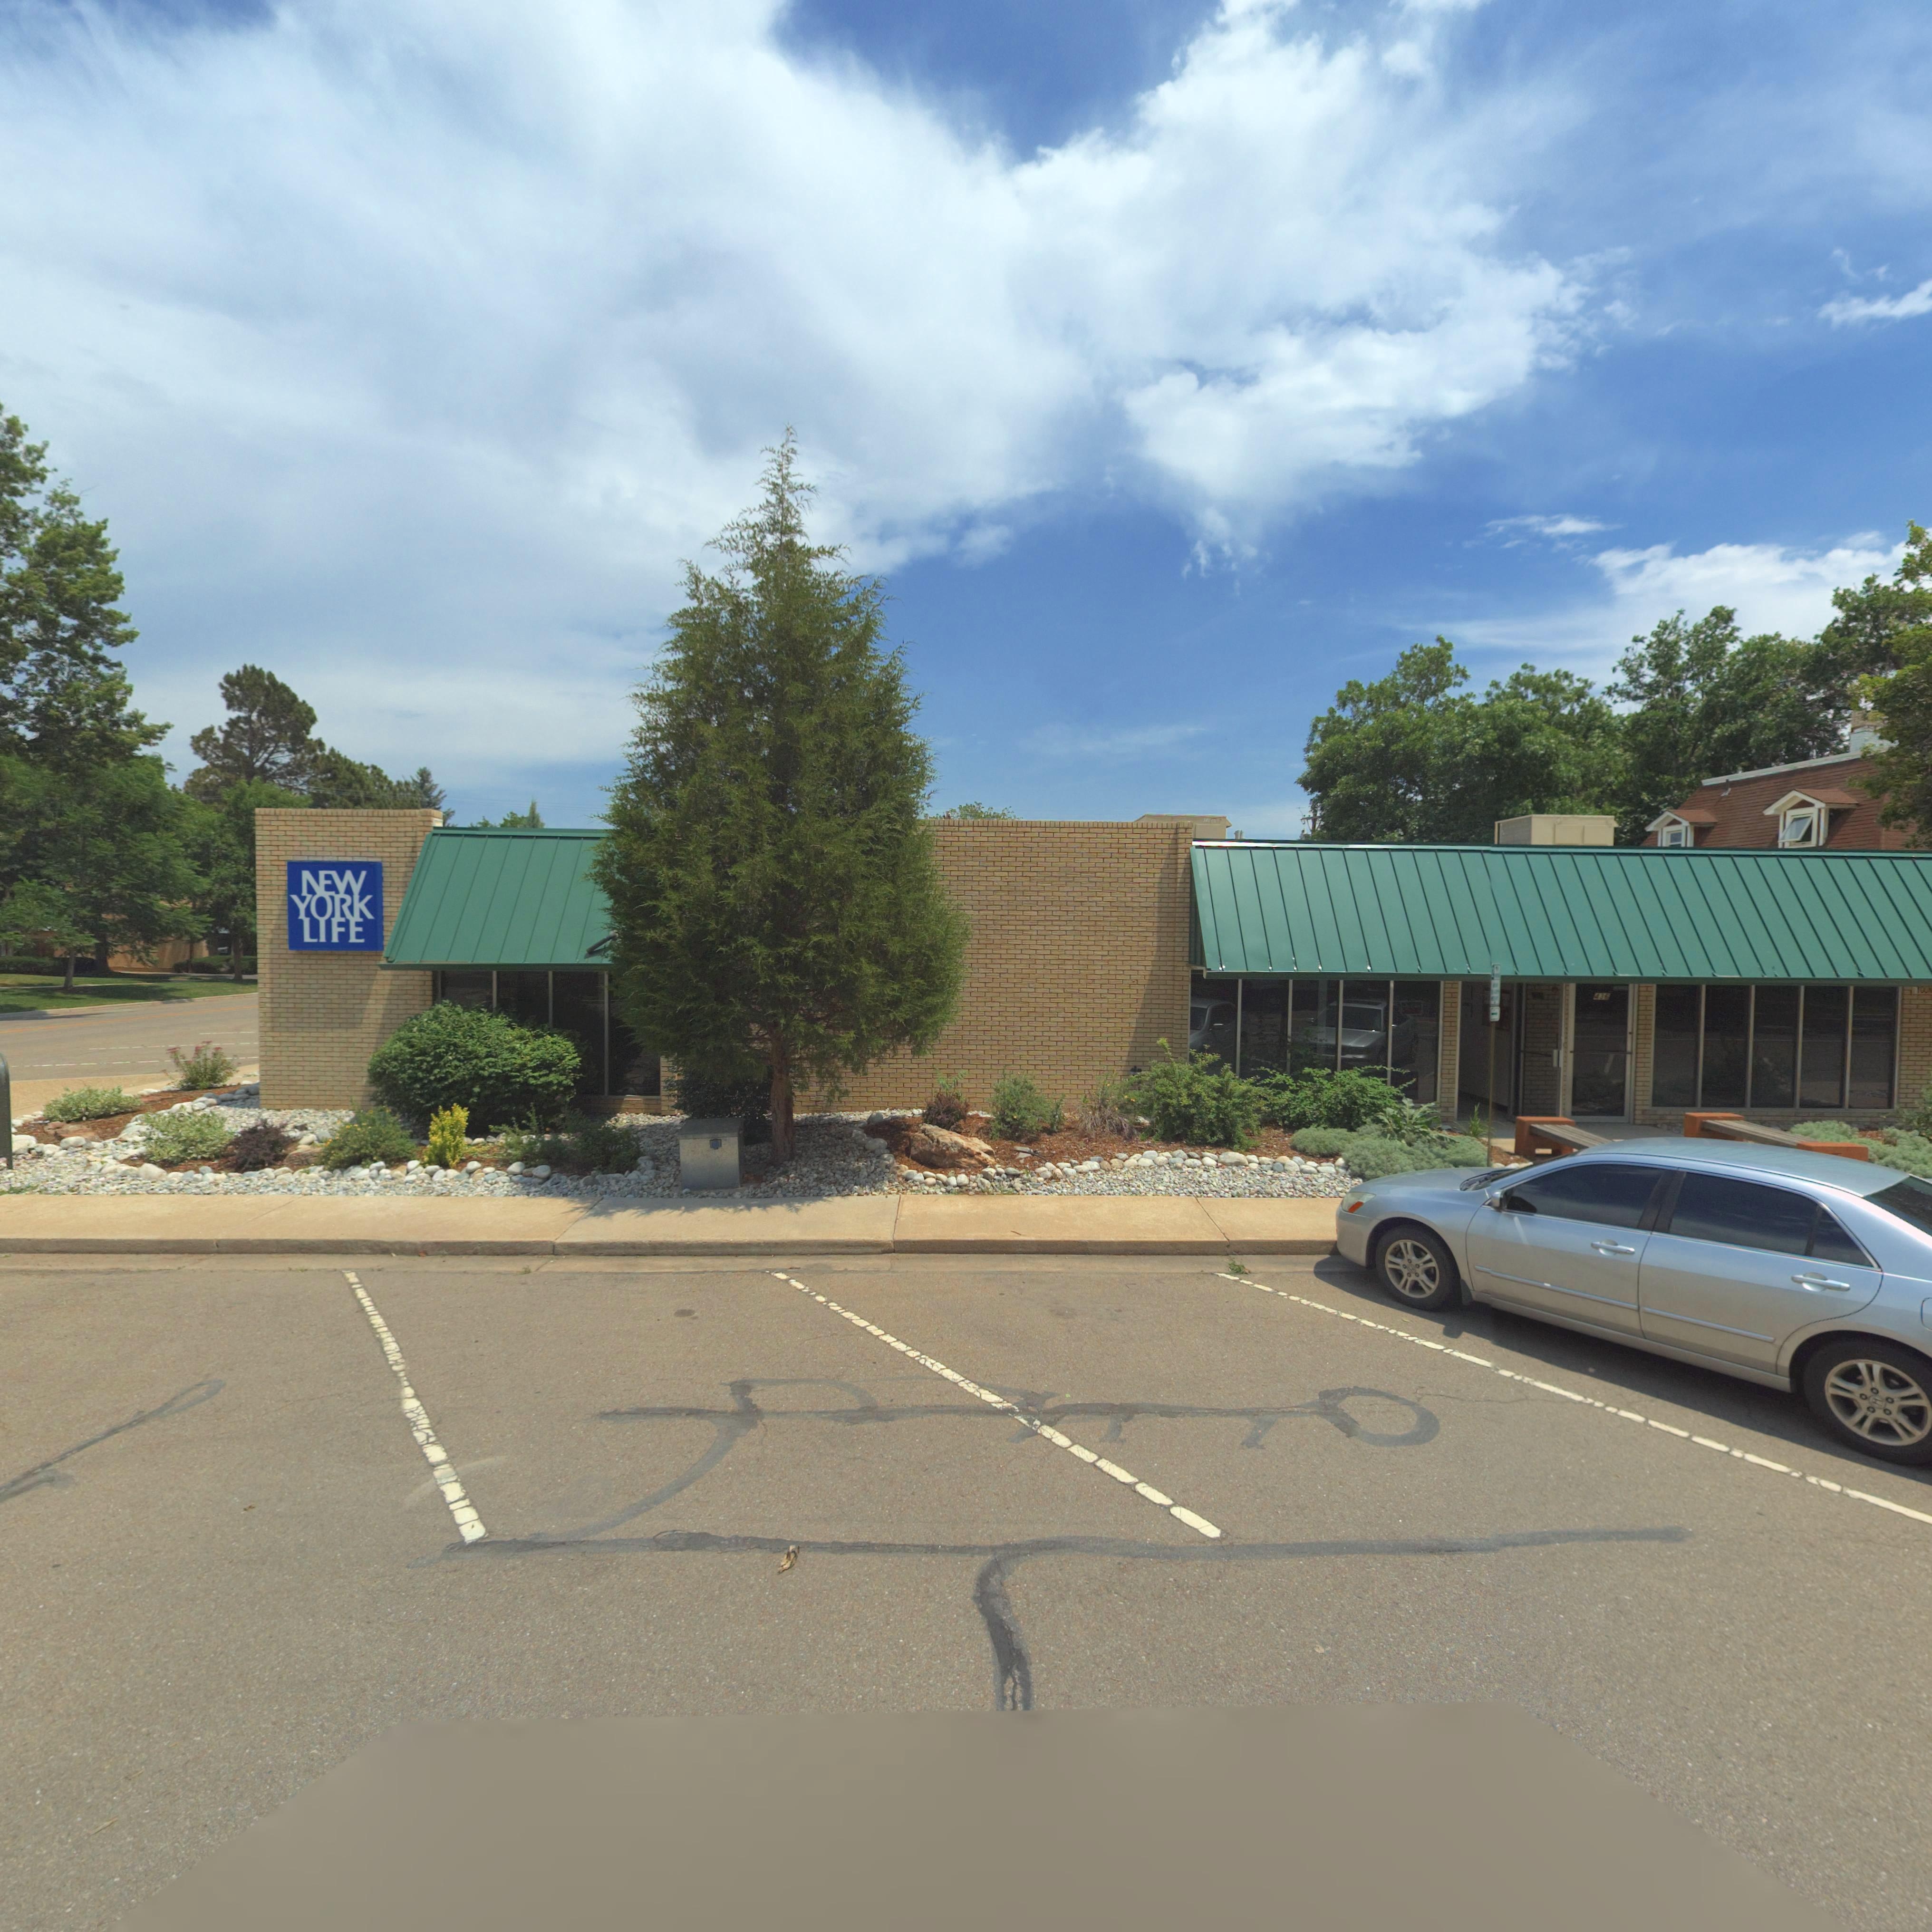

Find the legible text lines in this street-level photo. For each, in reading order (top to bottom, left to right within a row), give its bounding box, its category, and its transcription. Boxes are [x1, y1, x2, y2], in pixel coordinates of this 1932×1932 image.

[300, 869, 367, 896] BusinessName: NEW
[289, 894, 375, 919] BusinessName: YORK
[302, 918, 365, 943] BusinessName: LIFE
[1594, 992, 1609, 999] StreetNumber: 436